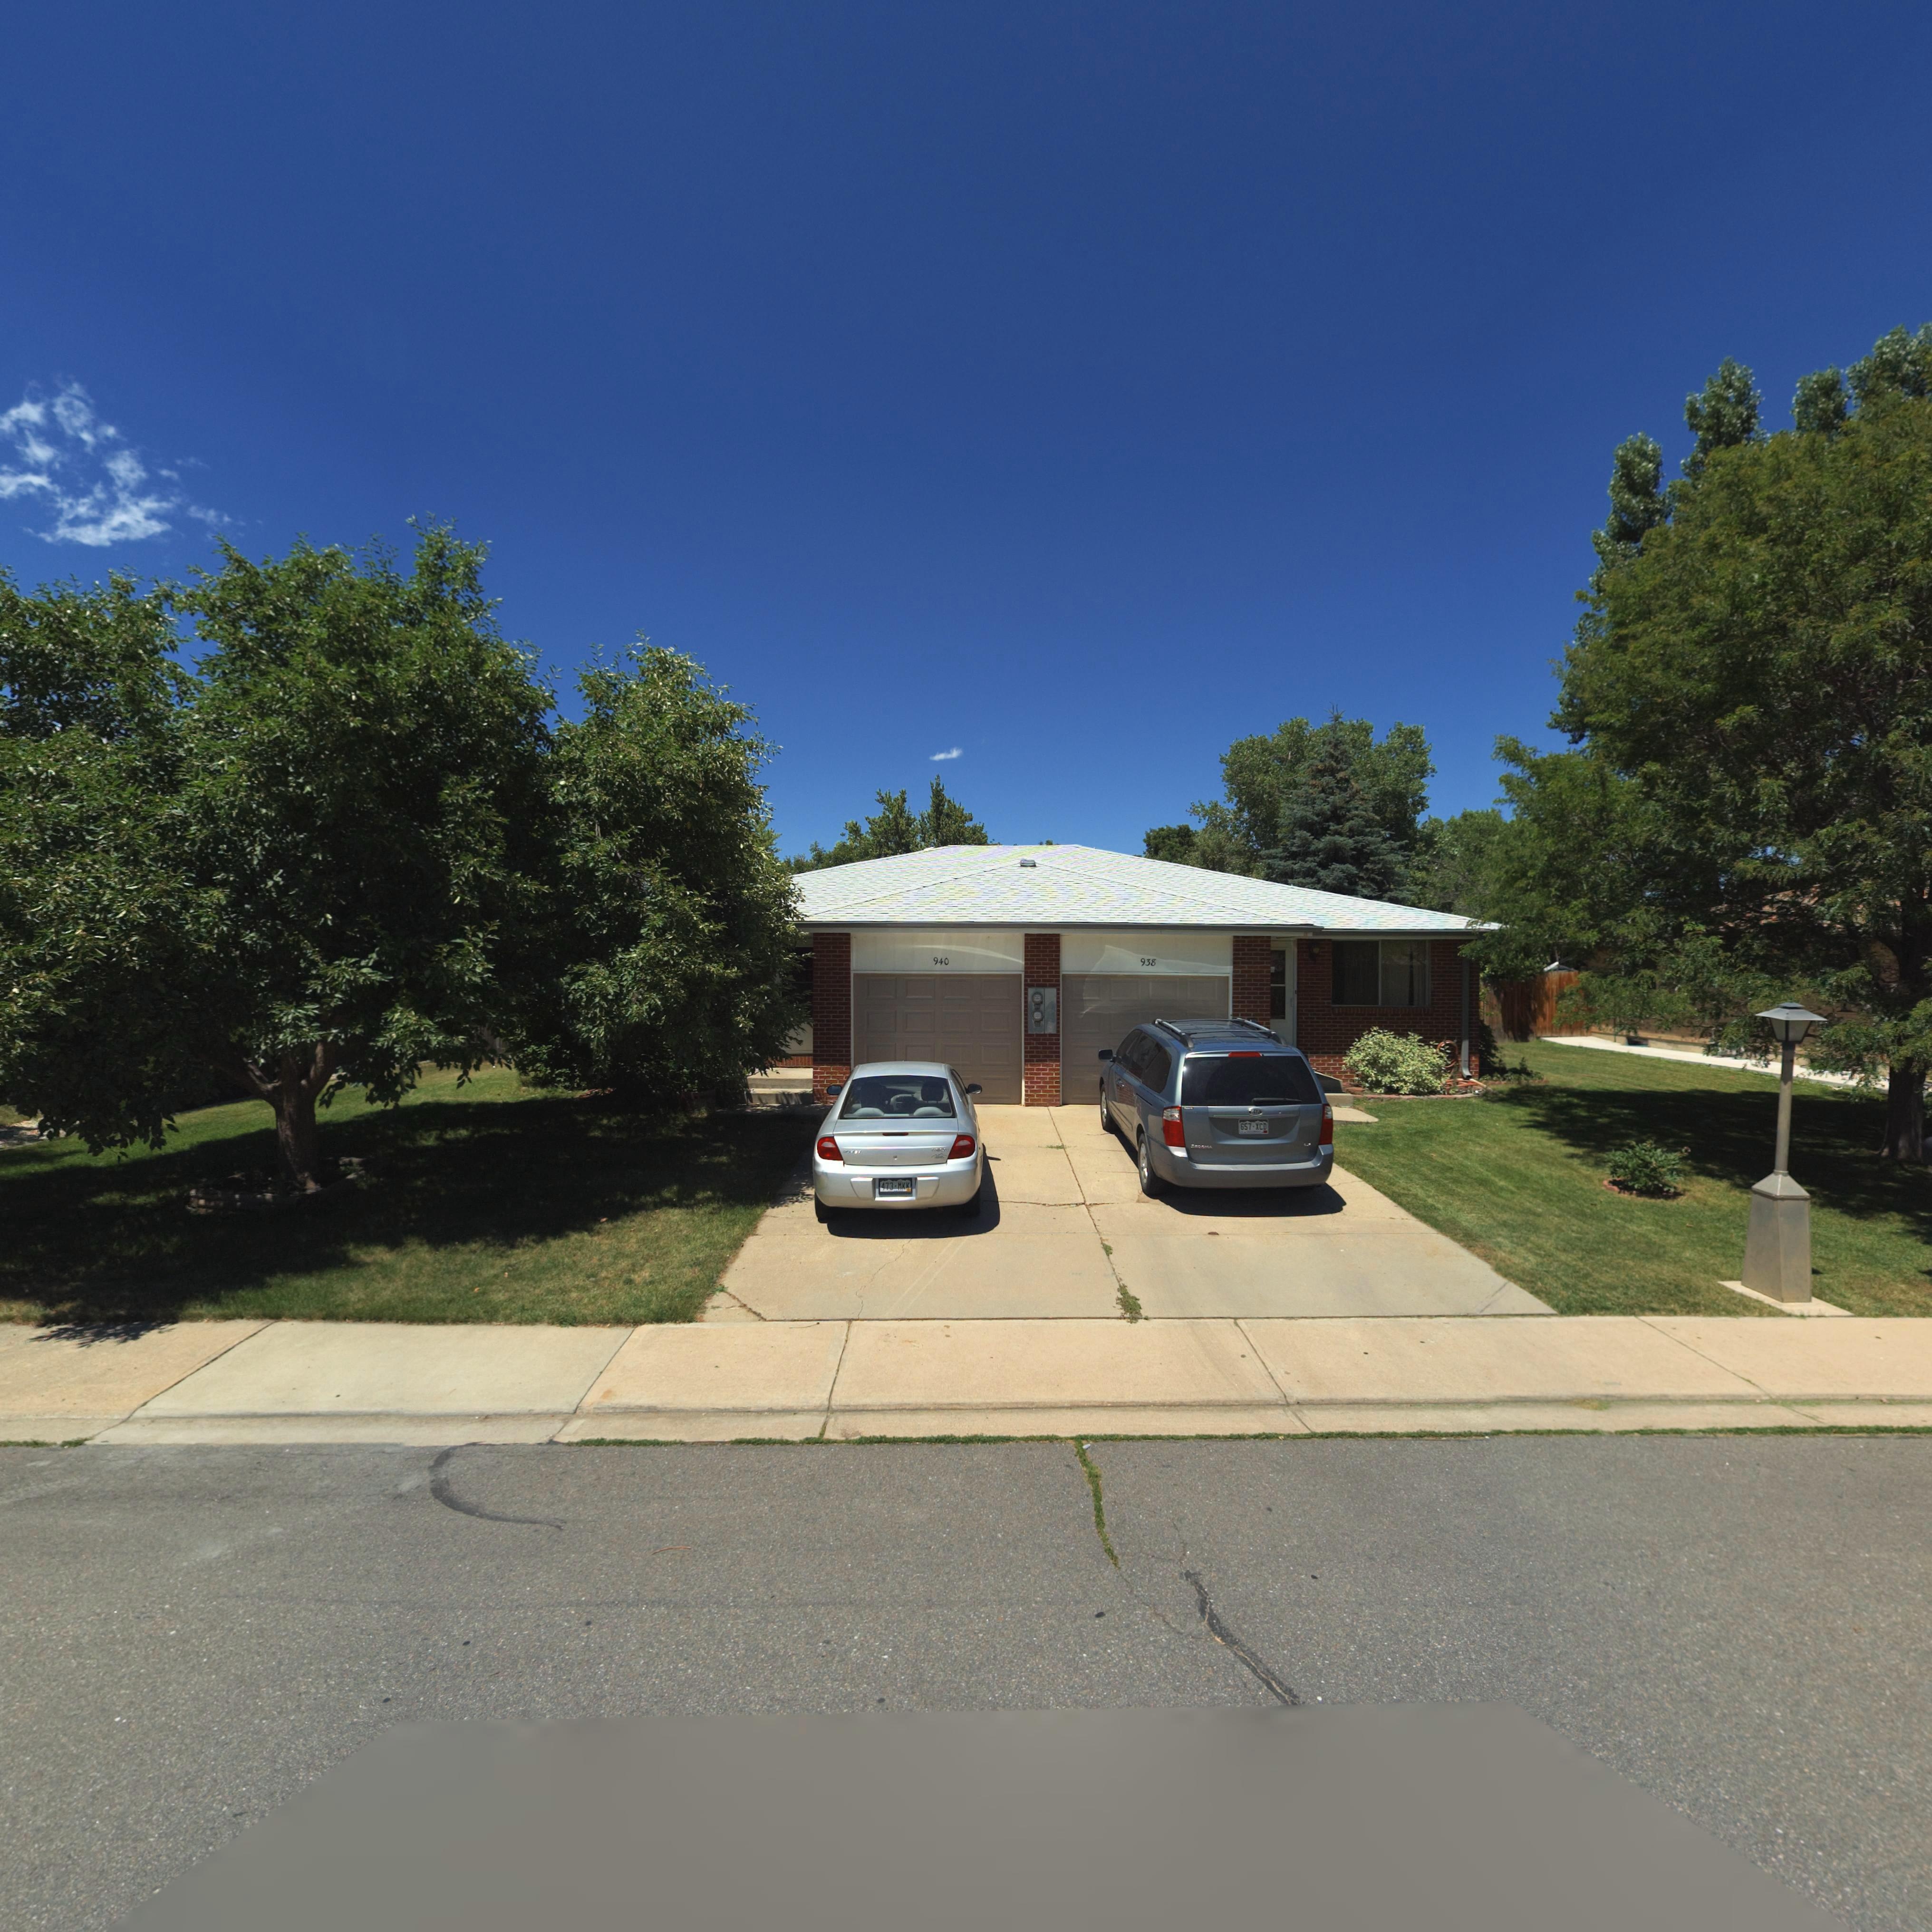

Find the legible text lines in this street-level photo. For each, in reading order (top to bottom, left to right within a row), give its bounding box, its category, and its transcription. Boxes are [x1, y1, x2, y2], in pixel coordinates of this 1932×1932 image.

[933, 957, 949, 966] StreetNumber: 940
[1140, 958, 1156, 966] StreetNumber: 938